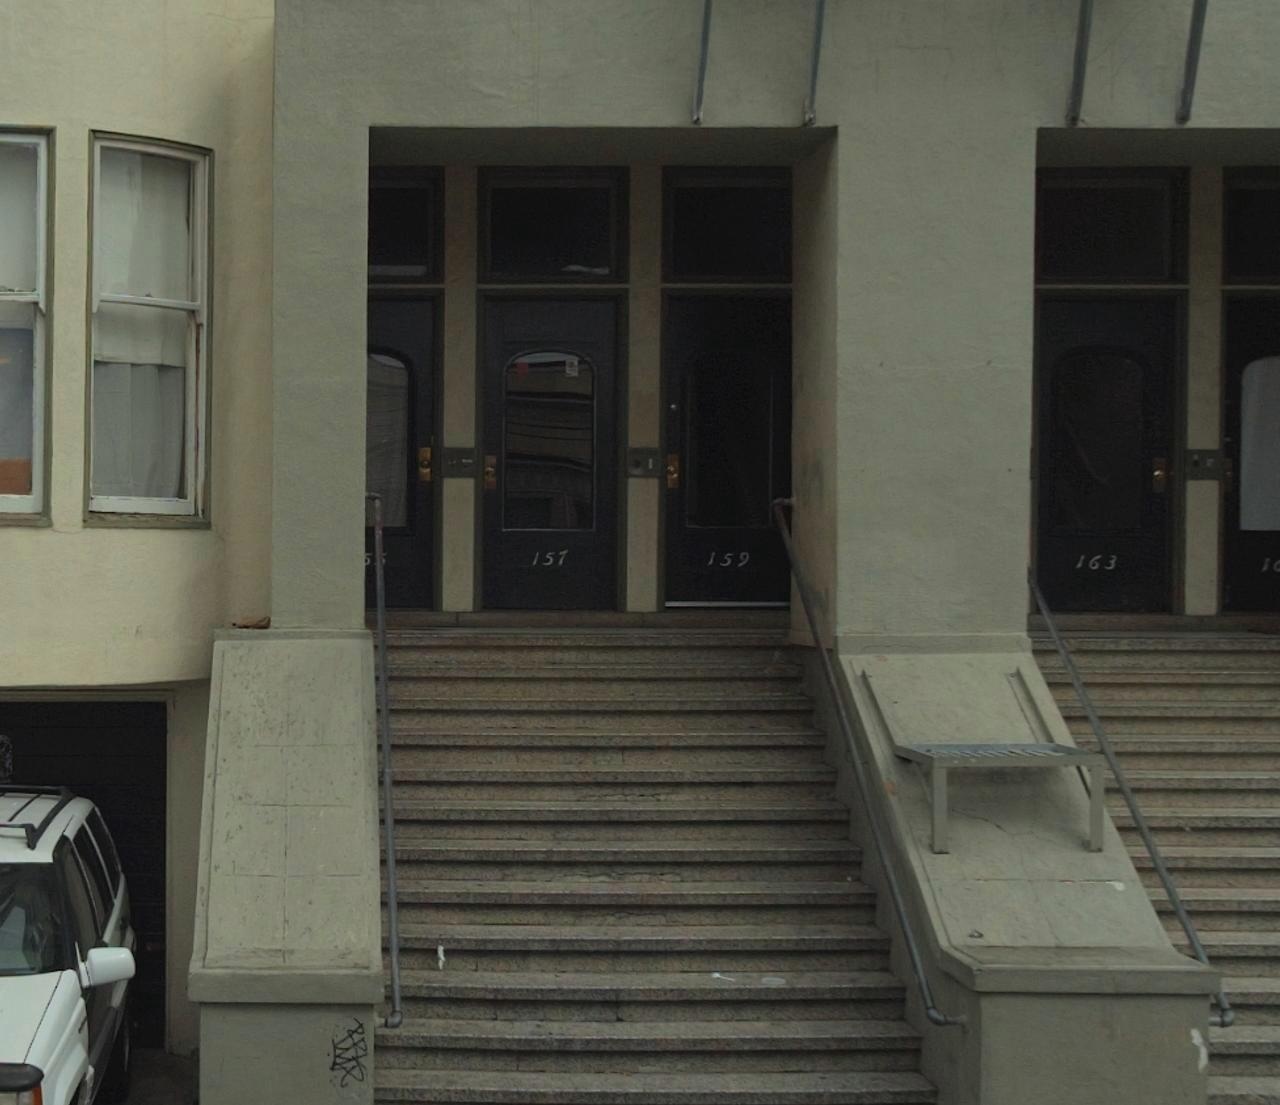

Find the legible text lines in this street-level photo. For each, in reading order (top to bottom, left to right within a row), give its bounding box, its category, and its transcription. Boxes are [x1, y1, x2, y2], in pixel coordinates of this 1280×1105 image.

[530, 548, 570, 567] StreetNumber: 157
[705, 550, 751, 569] StreetNumber: 159
[1073, 552, 1118, 572] StreetNumber: 163
[1258, 555, 1272, 574] StreetNumber: 1